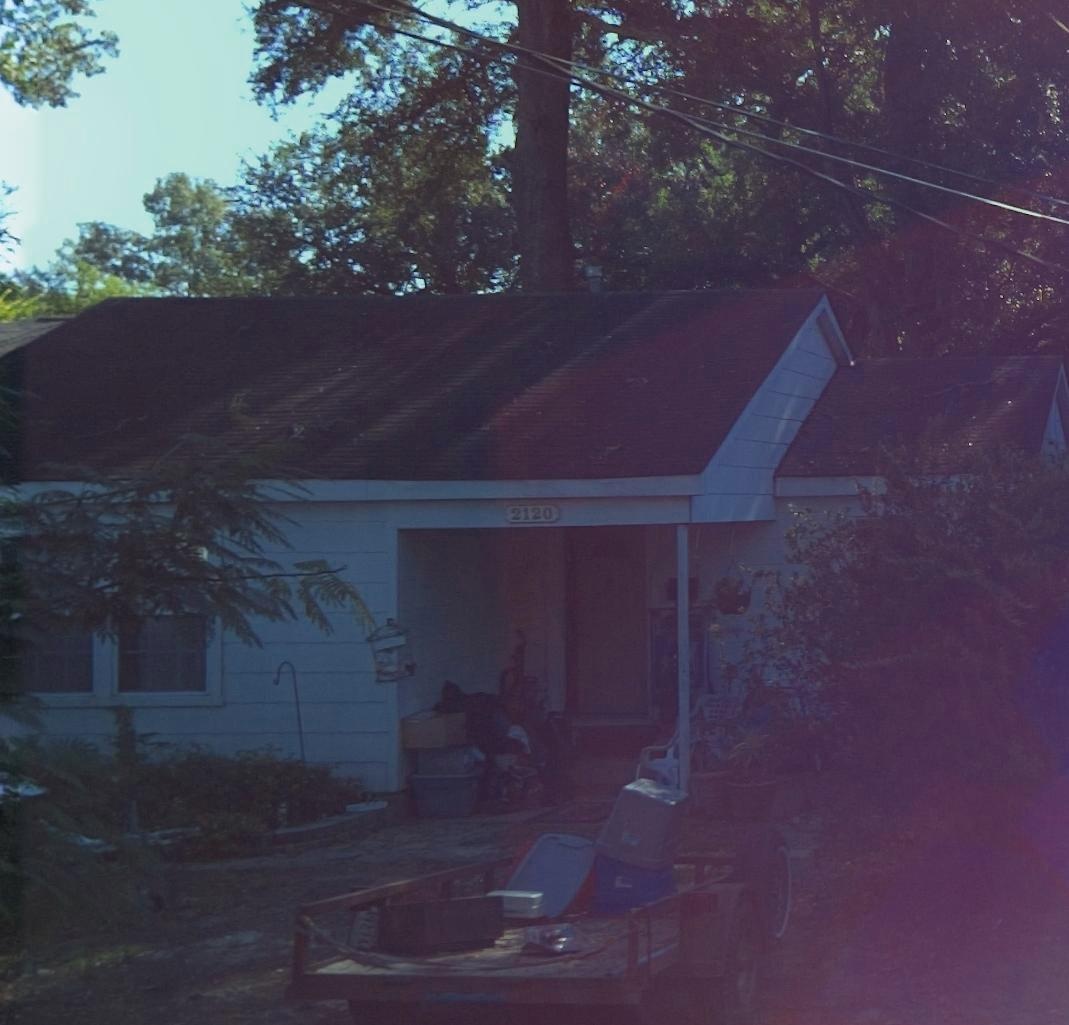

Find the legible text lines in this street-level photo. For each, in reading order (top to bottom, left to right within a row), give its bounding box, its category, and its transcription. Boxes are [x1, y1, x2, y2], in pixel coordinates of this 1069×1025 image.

[509, 506, 554, 522] StreetNumber: 2120